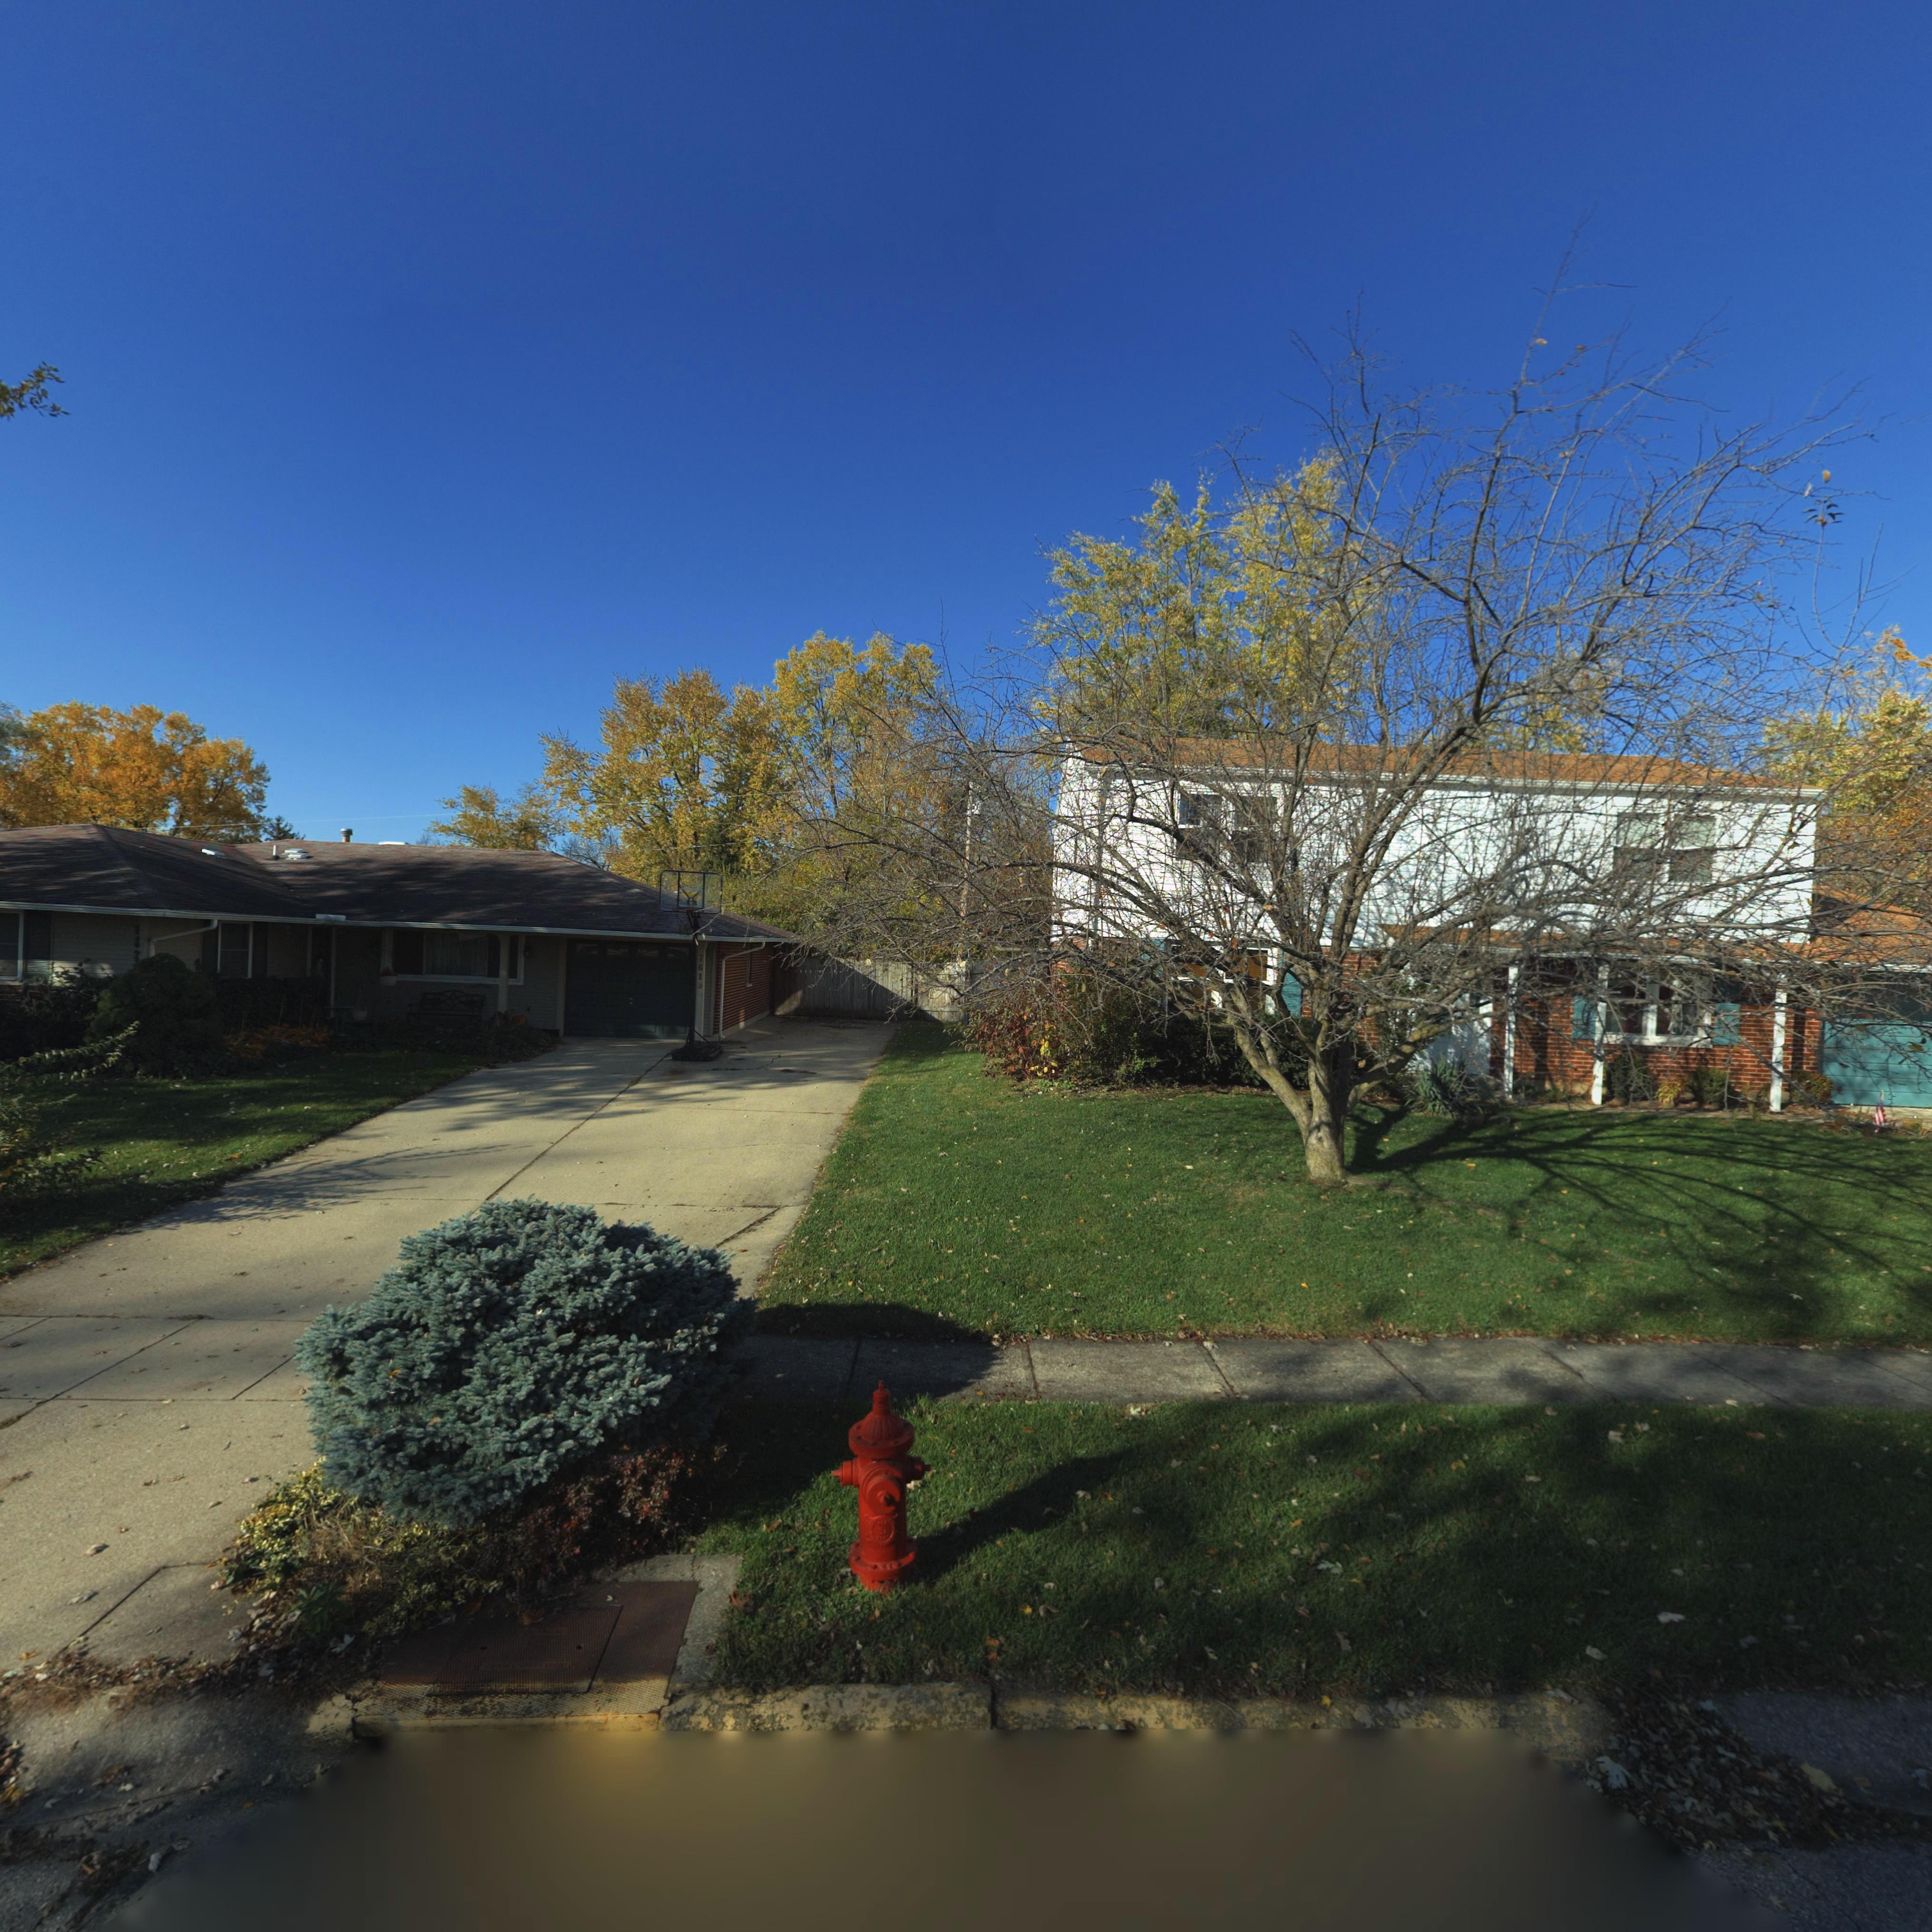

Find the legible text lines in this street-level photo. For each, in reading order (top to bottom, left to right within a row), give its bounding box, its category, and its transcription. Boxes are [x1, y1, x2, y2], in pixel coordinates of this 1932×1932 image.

[696, 953, 705, 991] StreetNumber: 761*